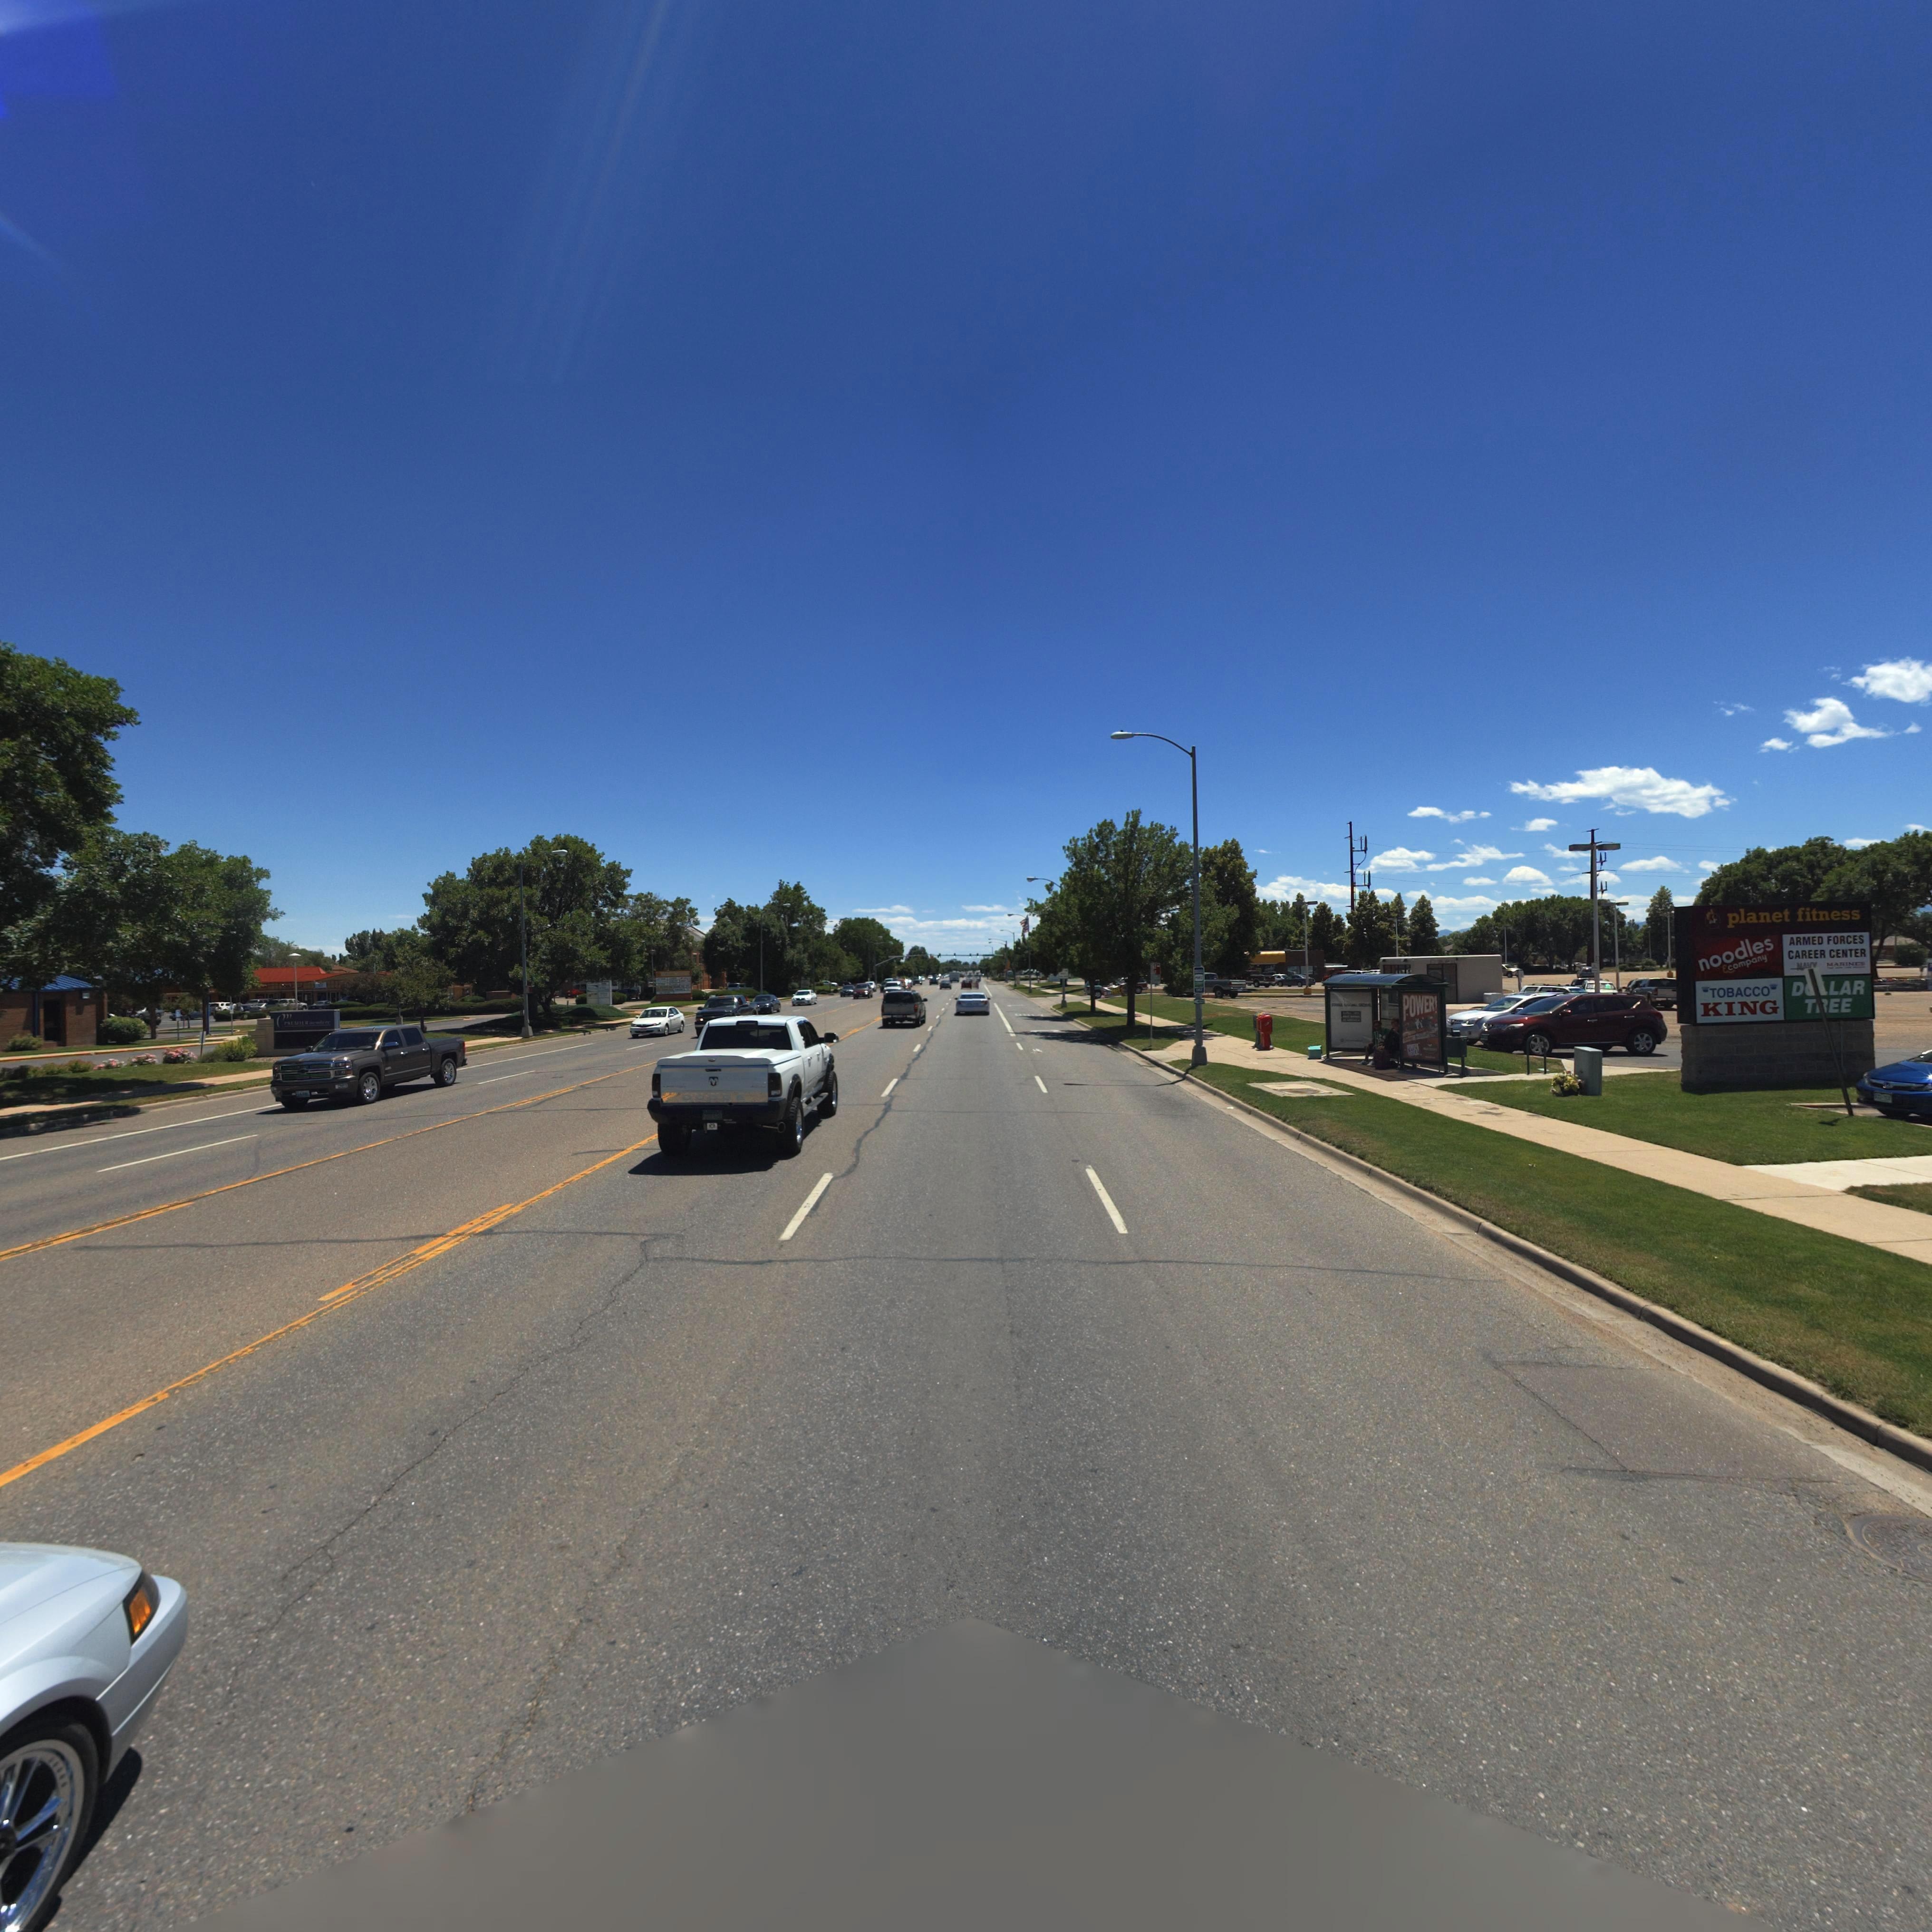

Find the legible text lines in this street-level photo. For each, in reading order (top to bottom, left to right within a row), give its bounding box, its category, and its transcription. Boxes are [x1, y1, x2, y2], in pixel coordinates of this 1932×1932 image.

[1727, 907, 1860, 928] BusinessName: planet fitness
[1788, 934, 1864, 946] BusinessName: ARMED FORCES
[1698, 937, 1774, 972] BusinessName: noodles
[1787, 948, 1866, 959] BusinessName: CAREER CENTER
[1709, 985, 1770, 998] BusinessName: TOBACCO
[1791, 980, 1865, 996] BusinessName: D**LAR
[1701, 999, 1779, 1016] BusinessName: KING
[1804, 997, 1852, 1013] BusinessName: T*EE